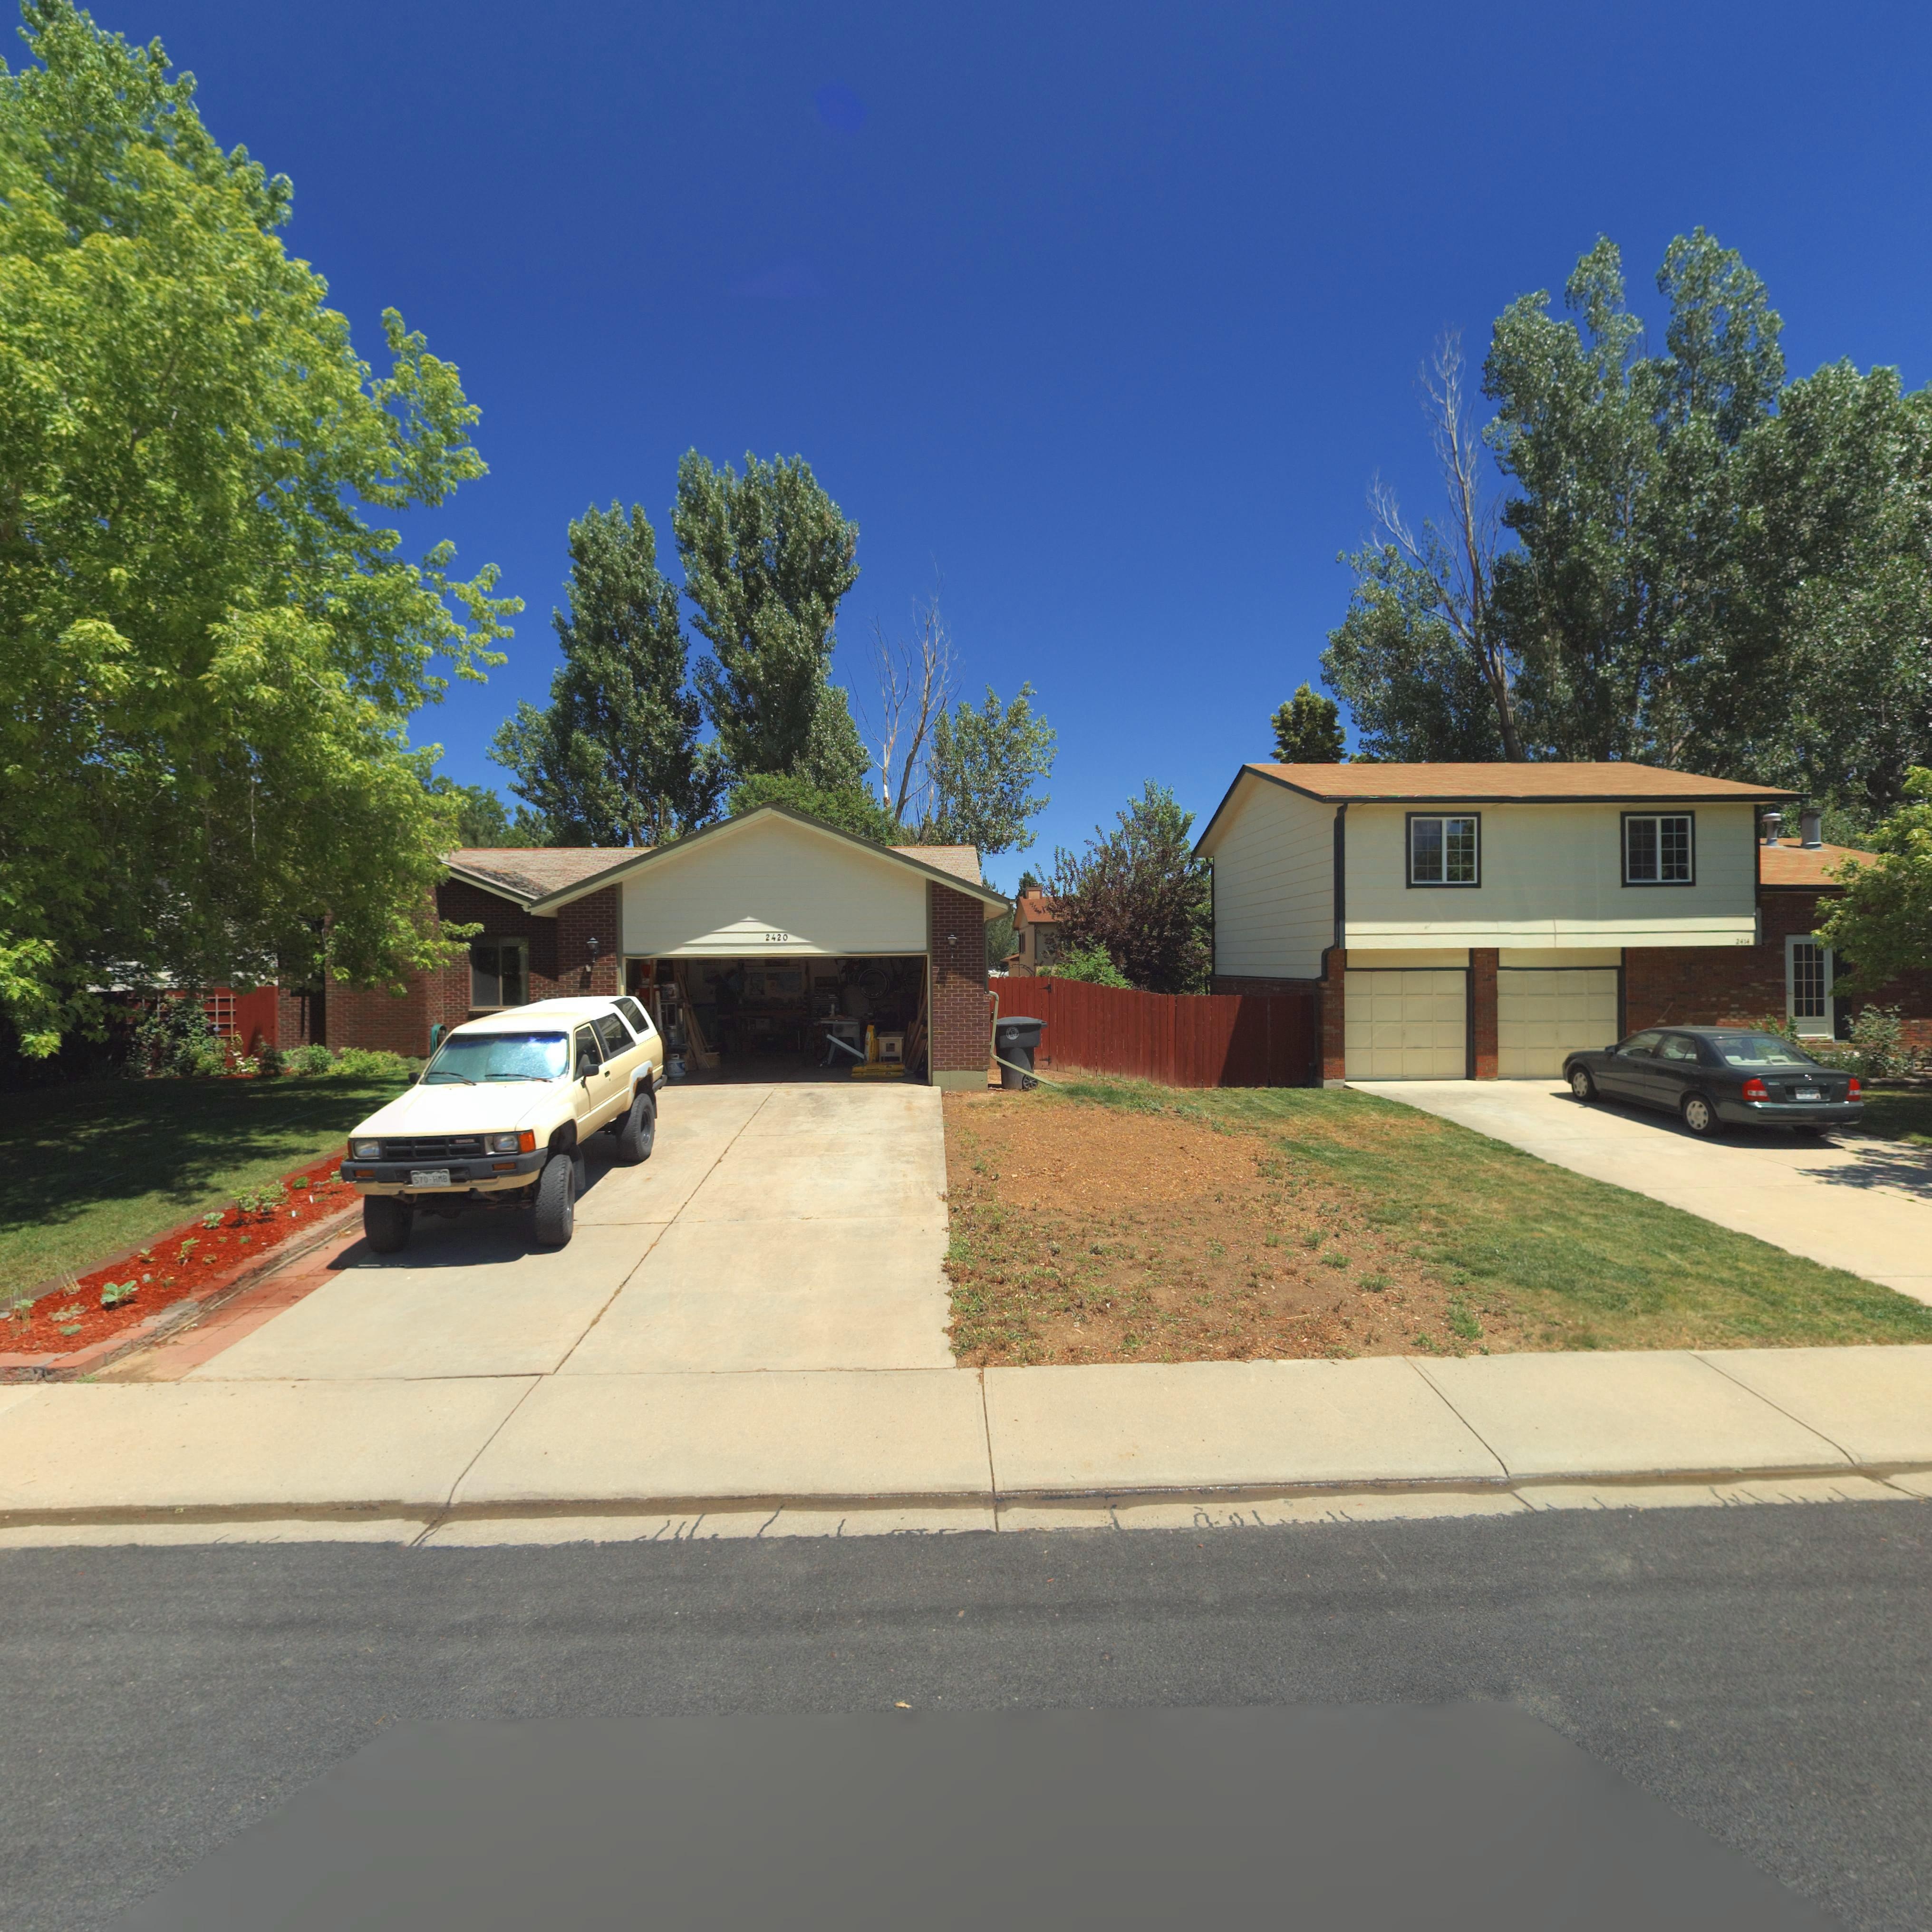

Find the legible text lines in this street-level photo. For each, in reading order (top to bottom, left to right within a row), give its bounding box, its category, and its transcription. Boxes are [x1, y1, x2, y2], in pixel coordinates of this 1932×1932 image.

[765, 933, 788, 942] StreetNumber: 2420
[1735, 938, 1749, 944] StreetNumber: 2414